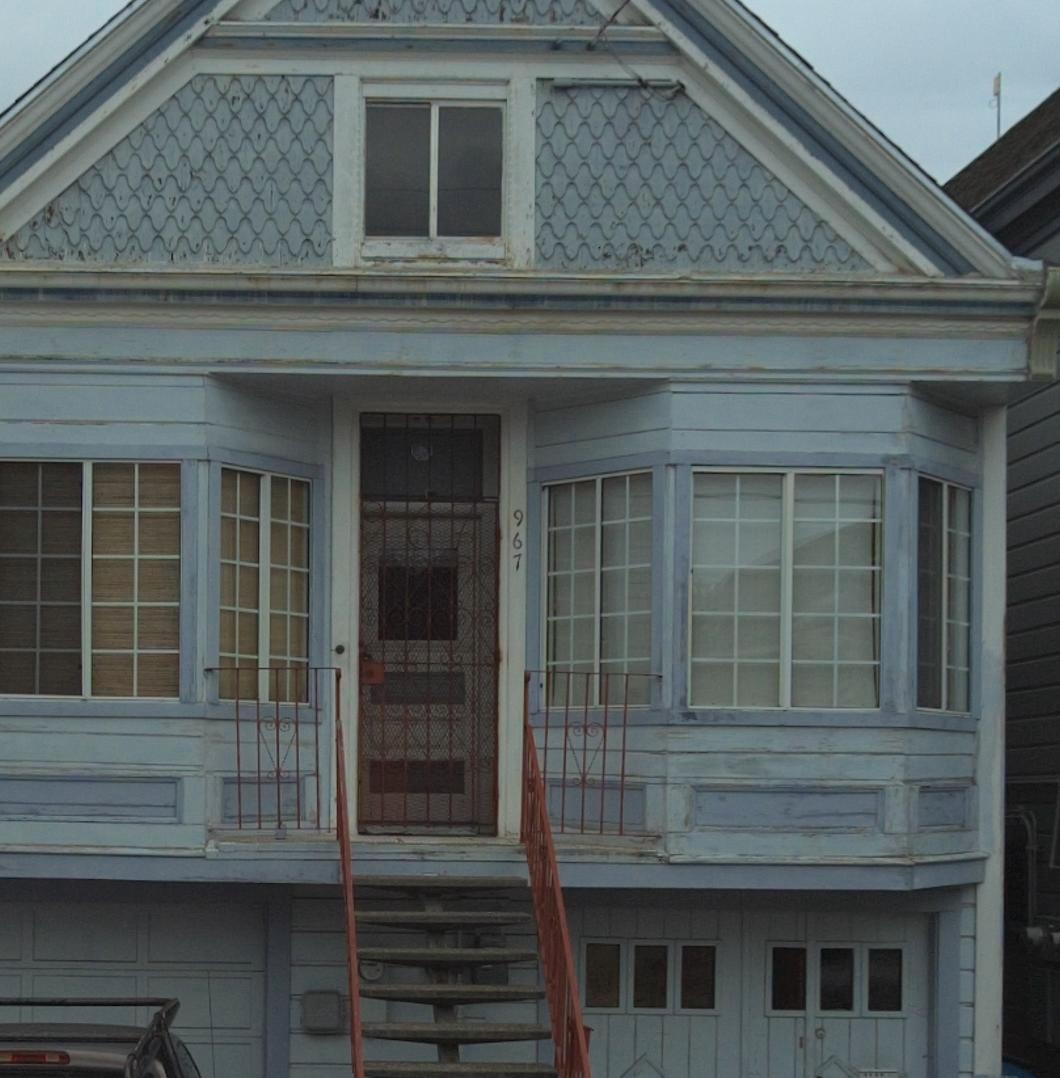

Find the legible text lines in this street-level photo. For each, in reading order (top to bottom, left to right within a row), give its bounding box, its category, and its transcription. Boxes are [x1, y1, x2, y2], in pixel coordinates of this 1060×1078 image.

[511, 508, 525, 572] StreetNumber: 967